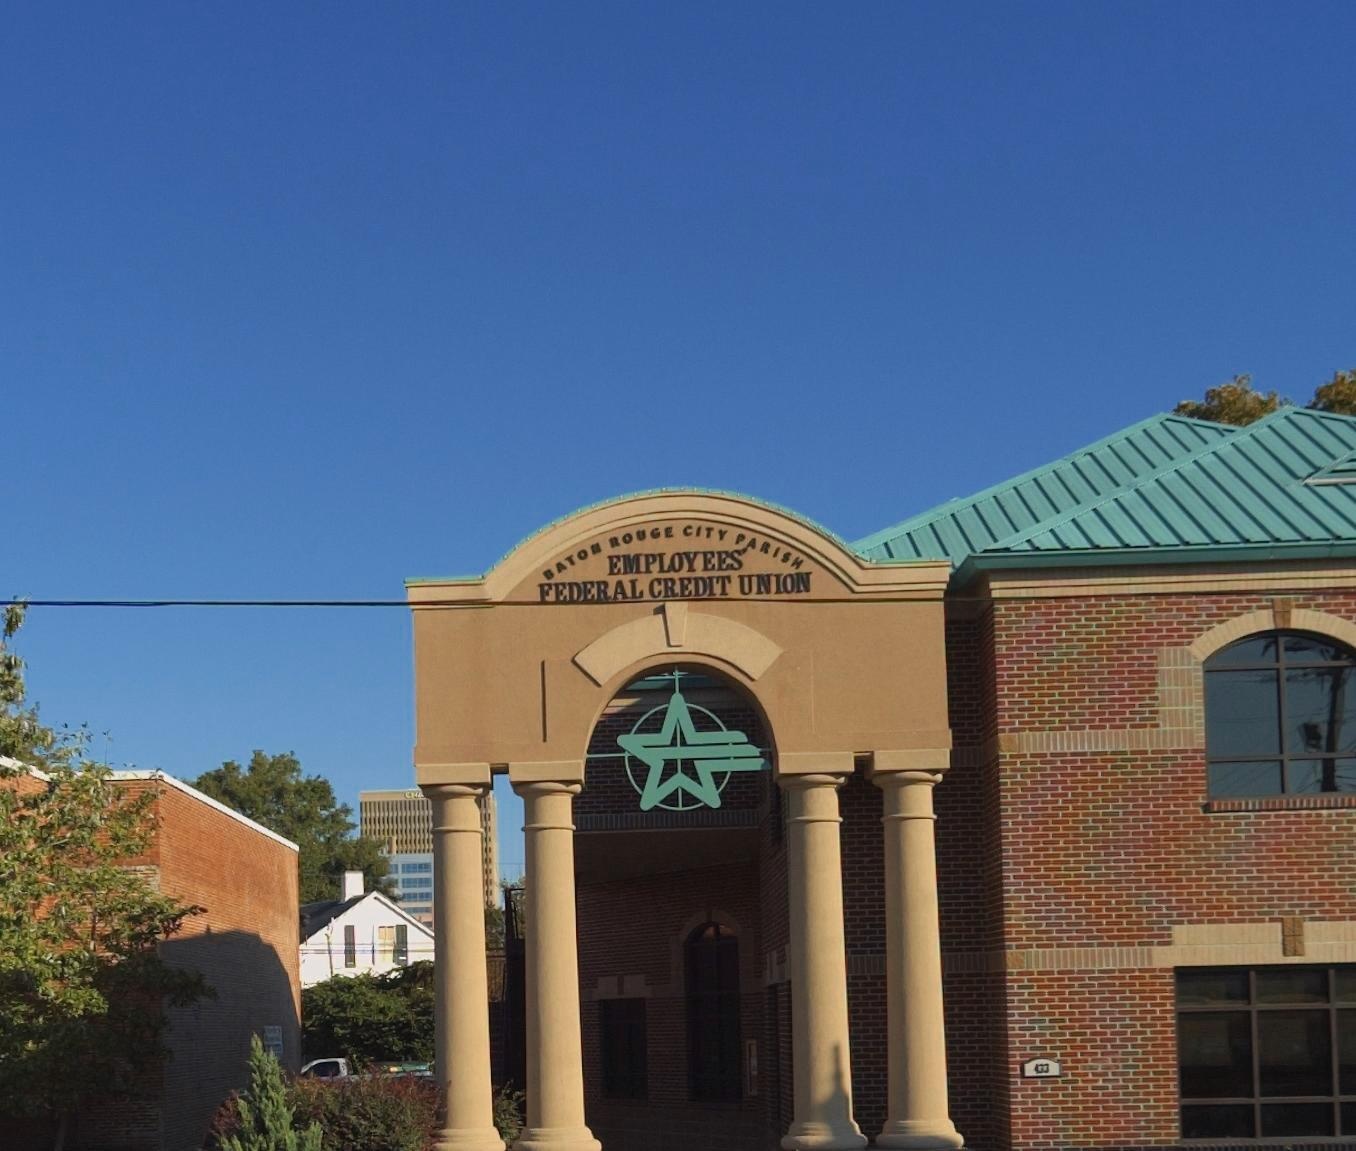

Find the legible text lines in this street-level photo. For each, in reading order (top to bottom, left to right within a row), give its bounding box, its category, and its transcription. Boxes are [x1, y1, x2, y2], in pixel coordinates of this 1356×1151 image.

[537, 523, 808, 583] None: BATON ROUGE CITY PARISH
[603, 547, 746, 578] BusinessName: EMPLOYEES
[534, 569, 816, 606] BusinessName: FEDERAL CREDIT UNION
[1032, 1061, 1052, 1077] StreetNumber: 433